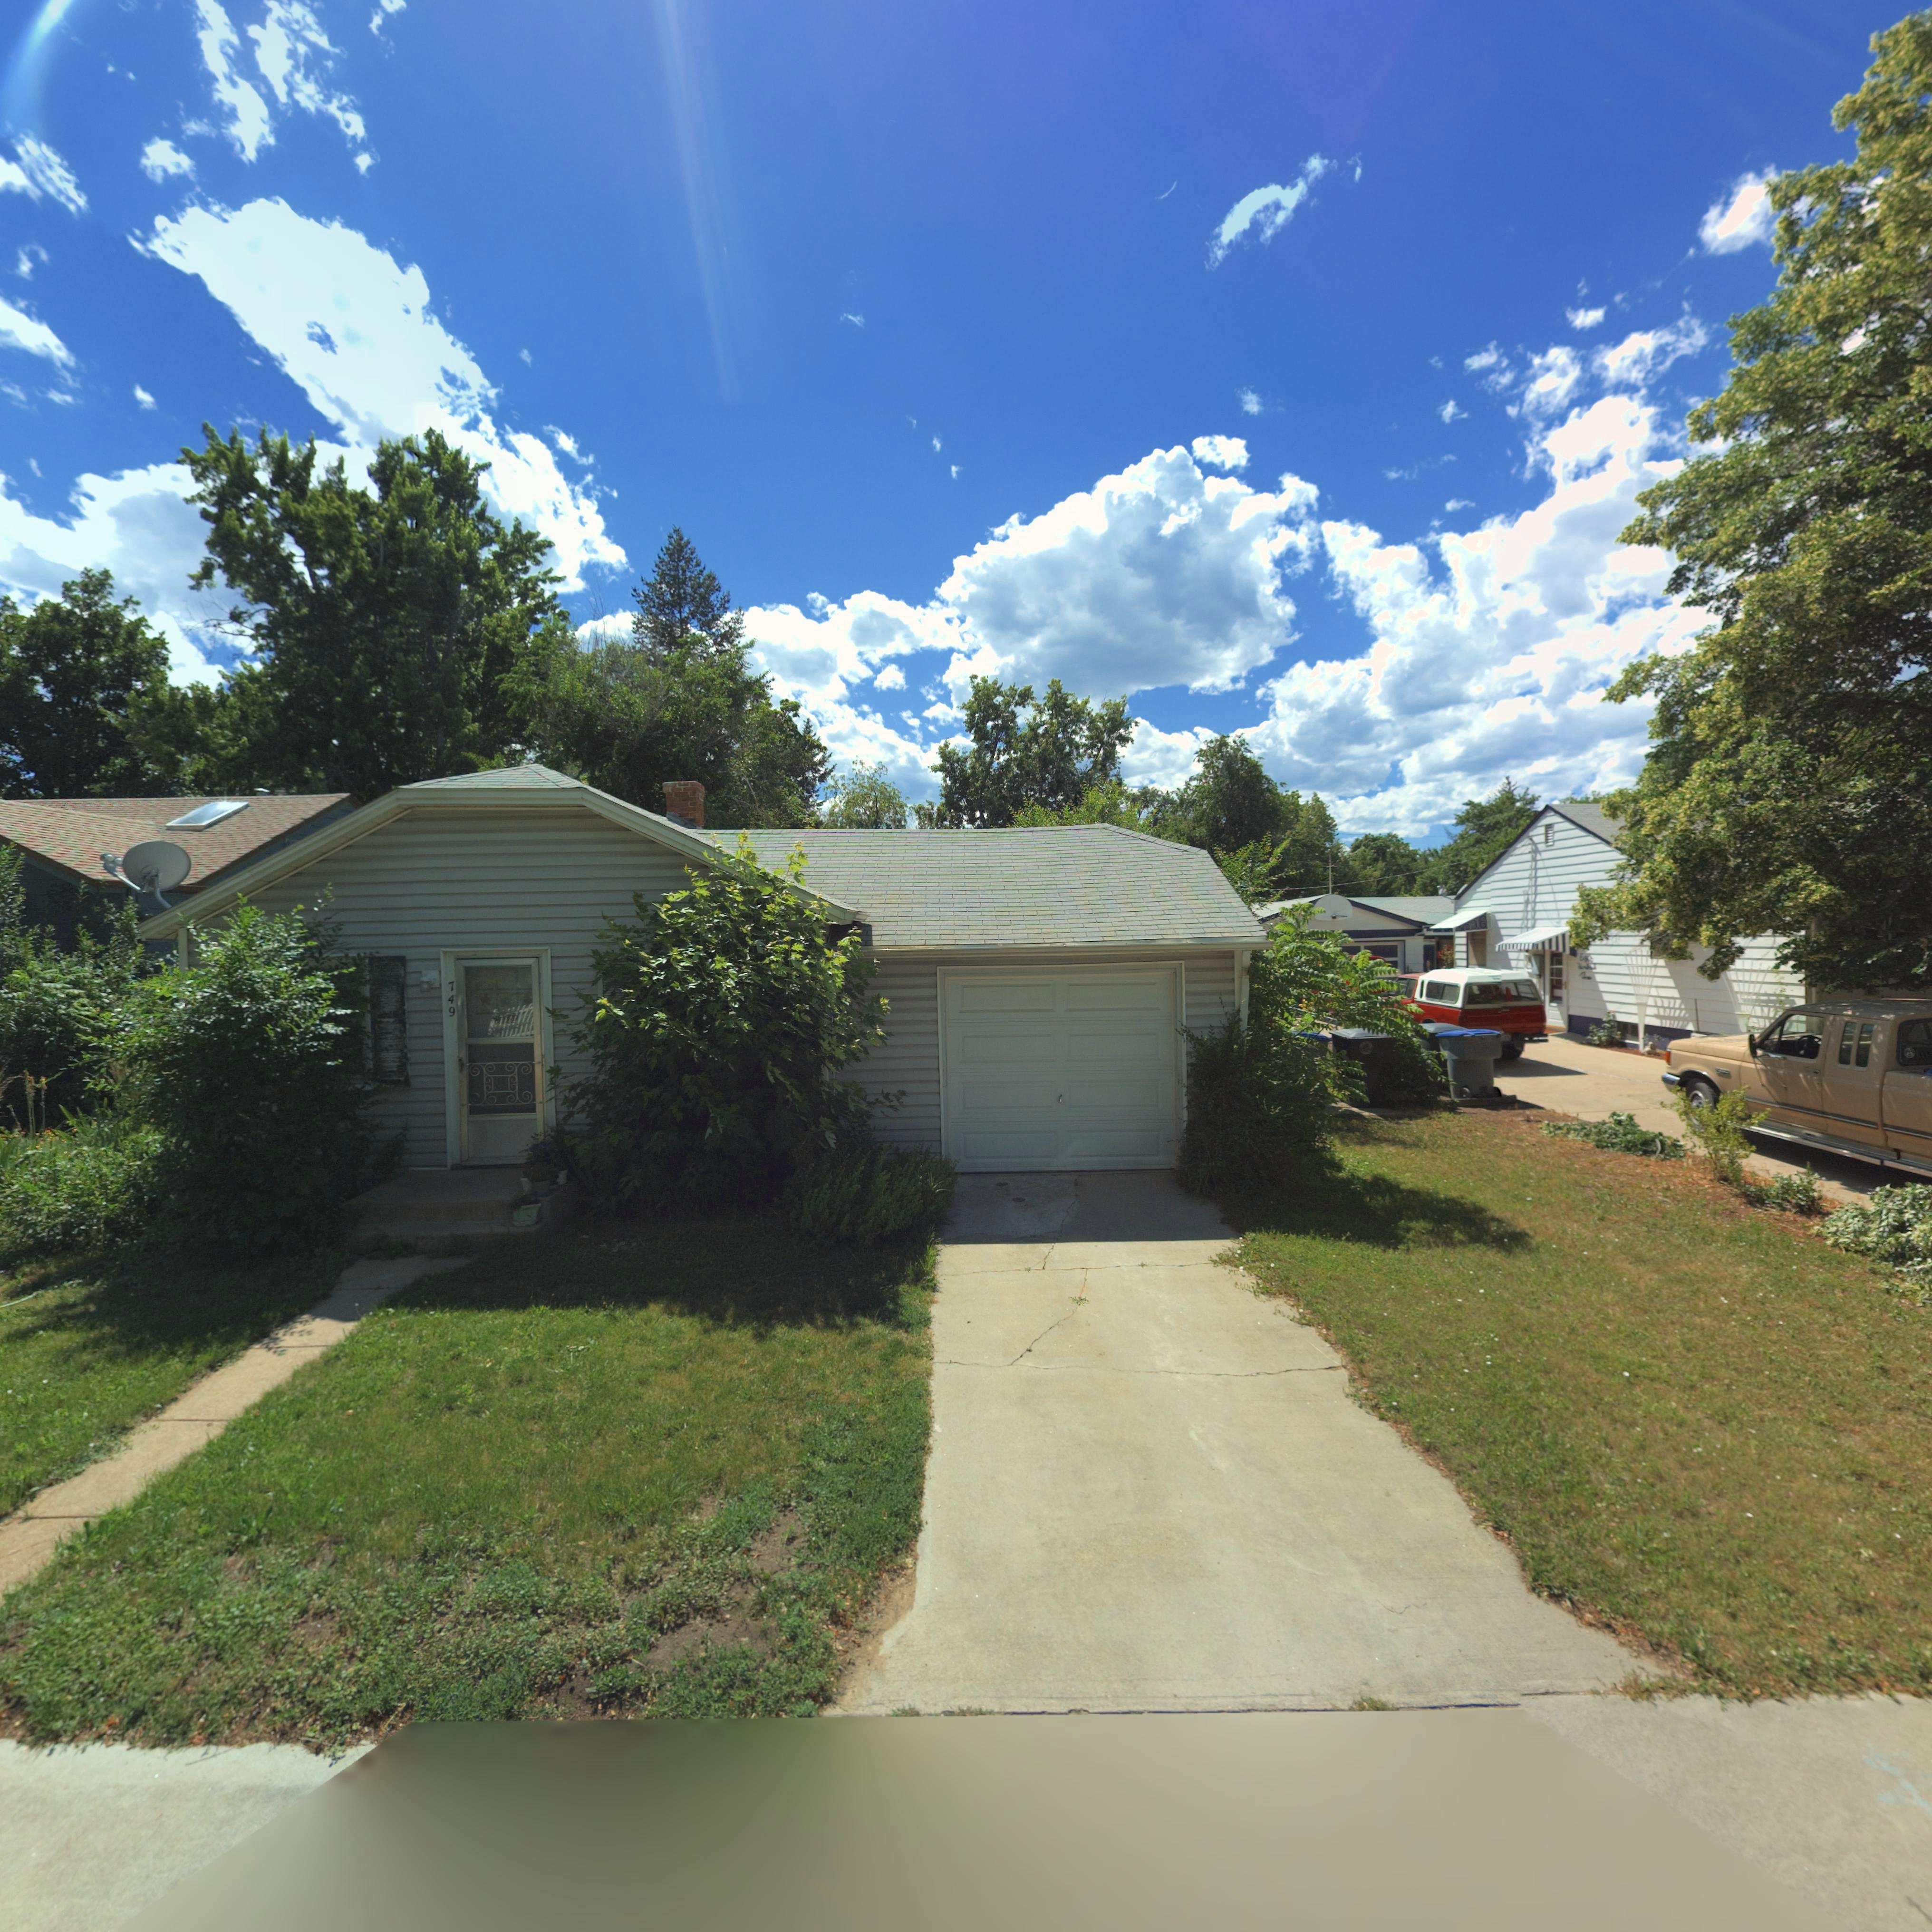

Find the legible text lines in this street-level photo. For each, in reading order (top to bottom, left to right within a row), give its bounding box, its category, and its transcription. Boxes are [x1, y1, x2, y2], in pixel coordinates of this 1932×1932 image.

[447, 978, 455, 1018] StreetNumber: 749